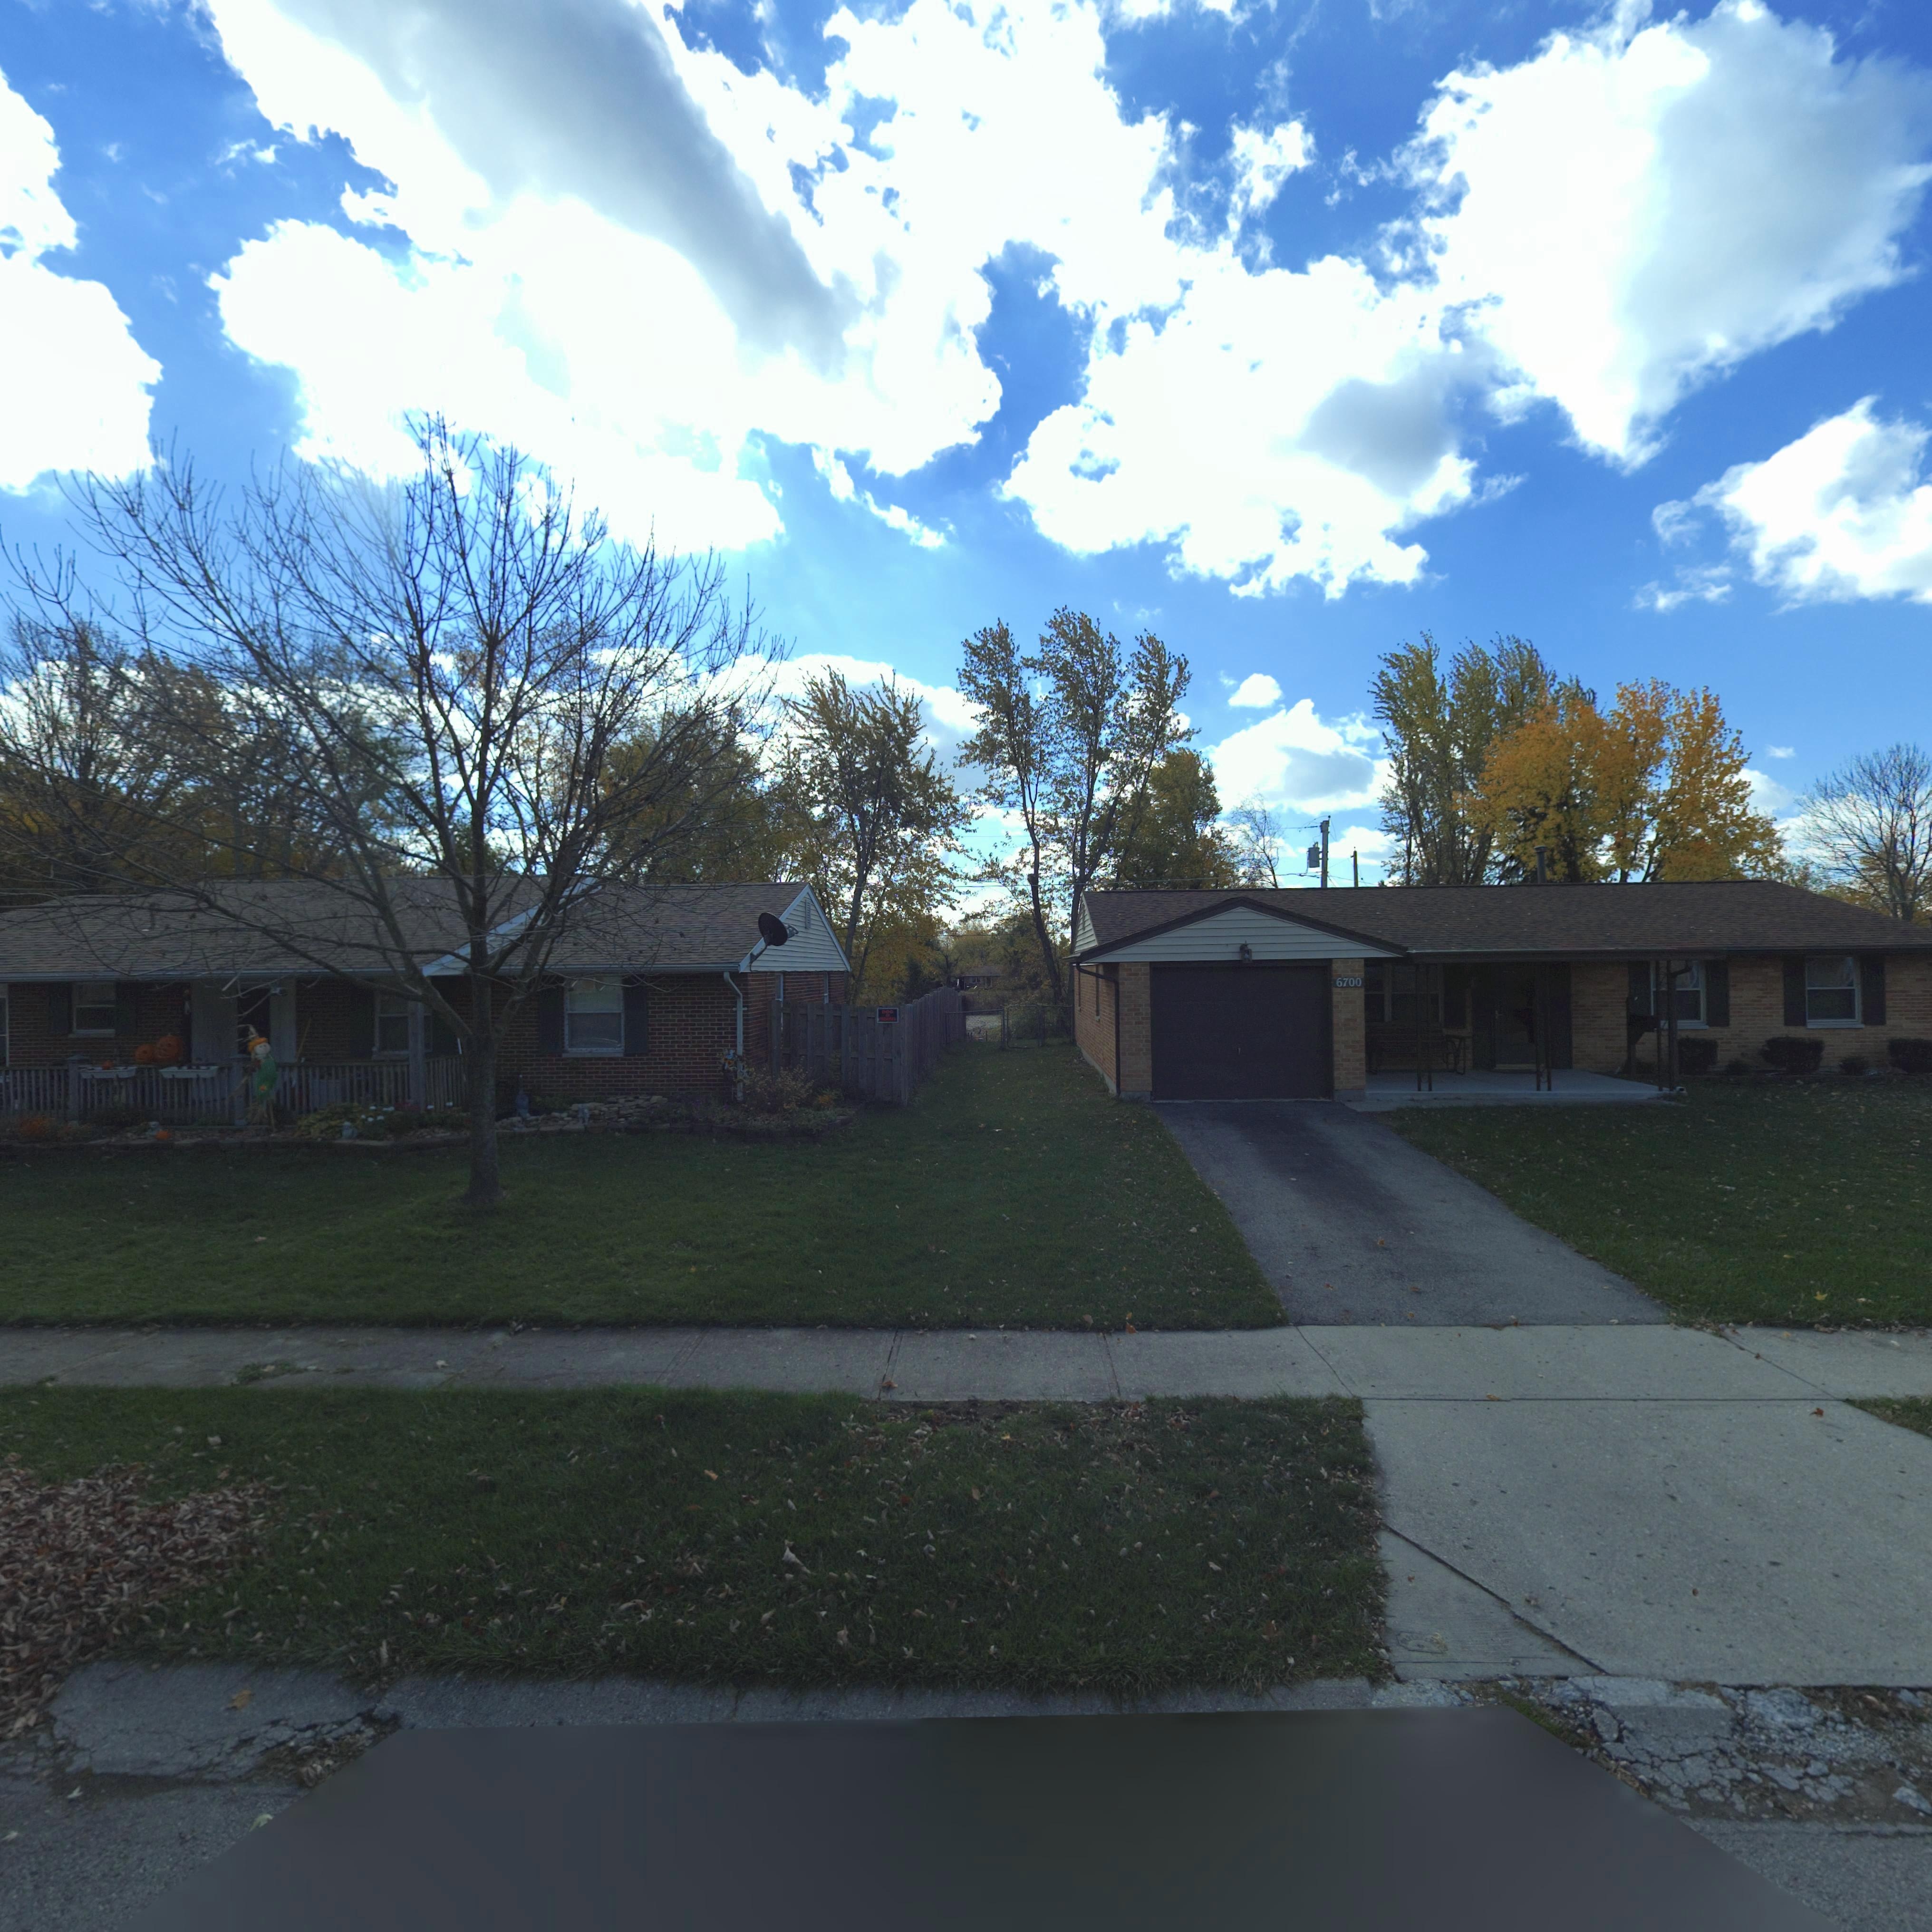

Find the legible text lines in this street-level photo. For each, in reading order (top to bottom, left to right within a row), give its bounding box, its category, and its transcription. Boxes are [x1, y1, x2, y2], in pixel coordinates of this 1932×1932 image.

[1335, 977, 1362, 987] StreetNumber: 6700